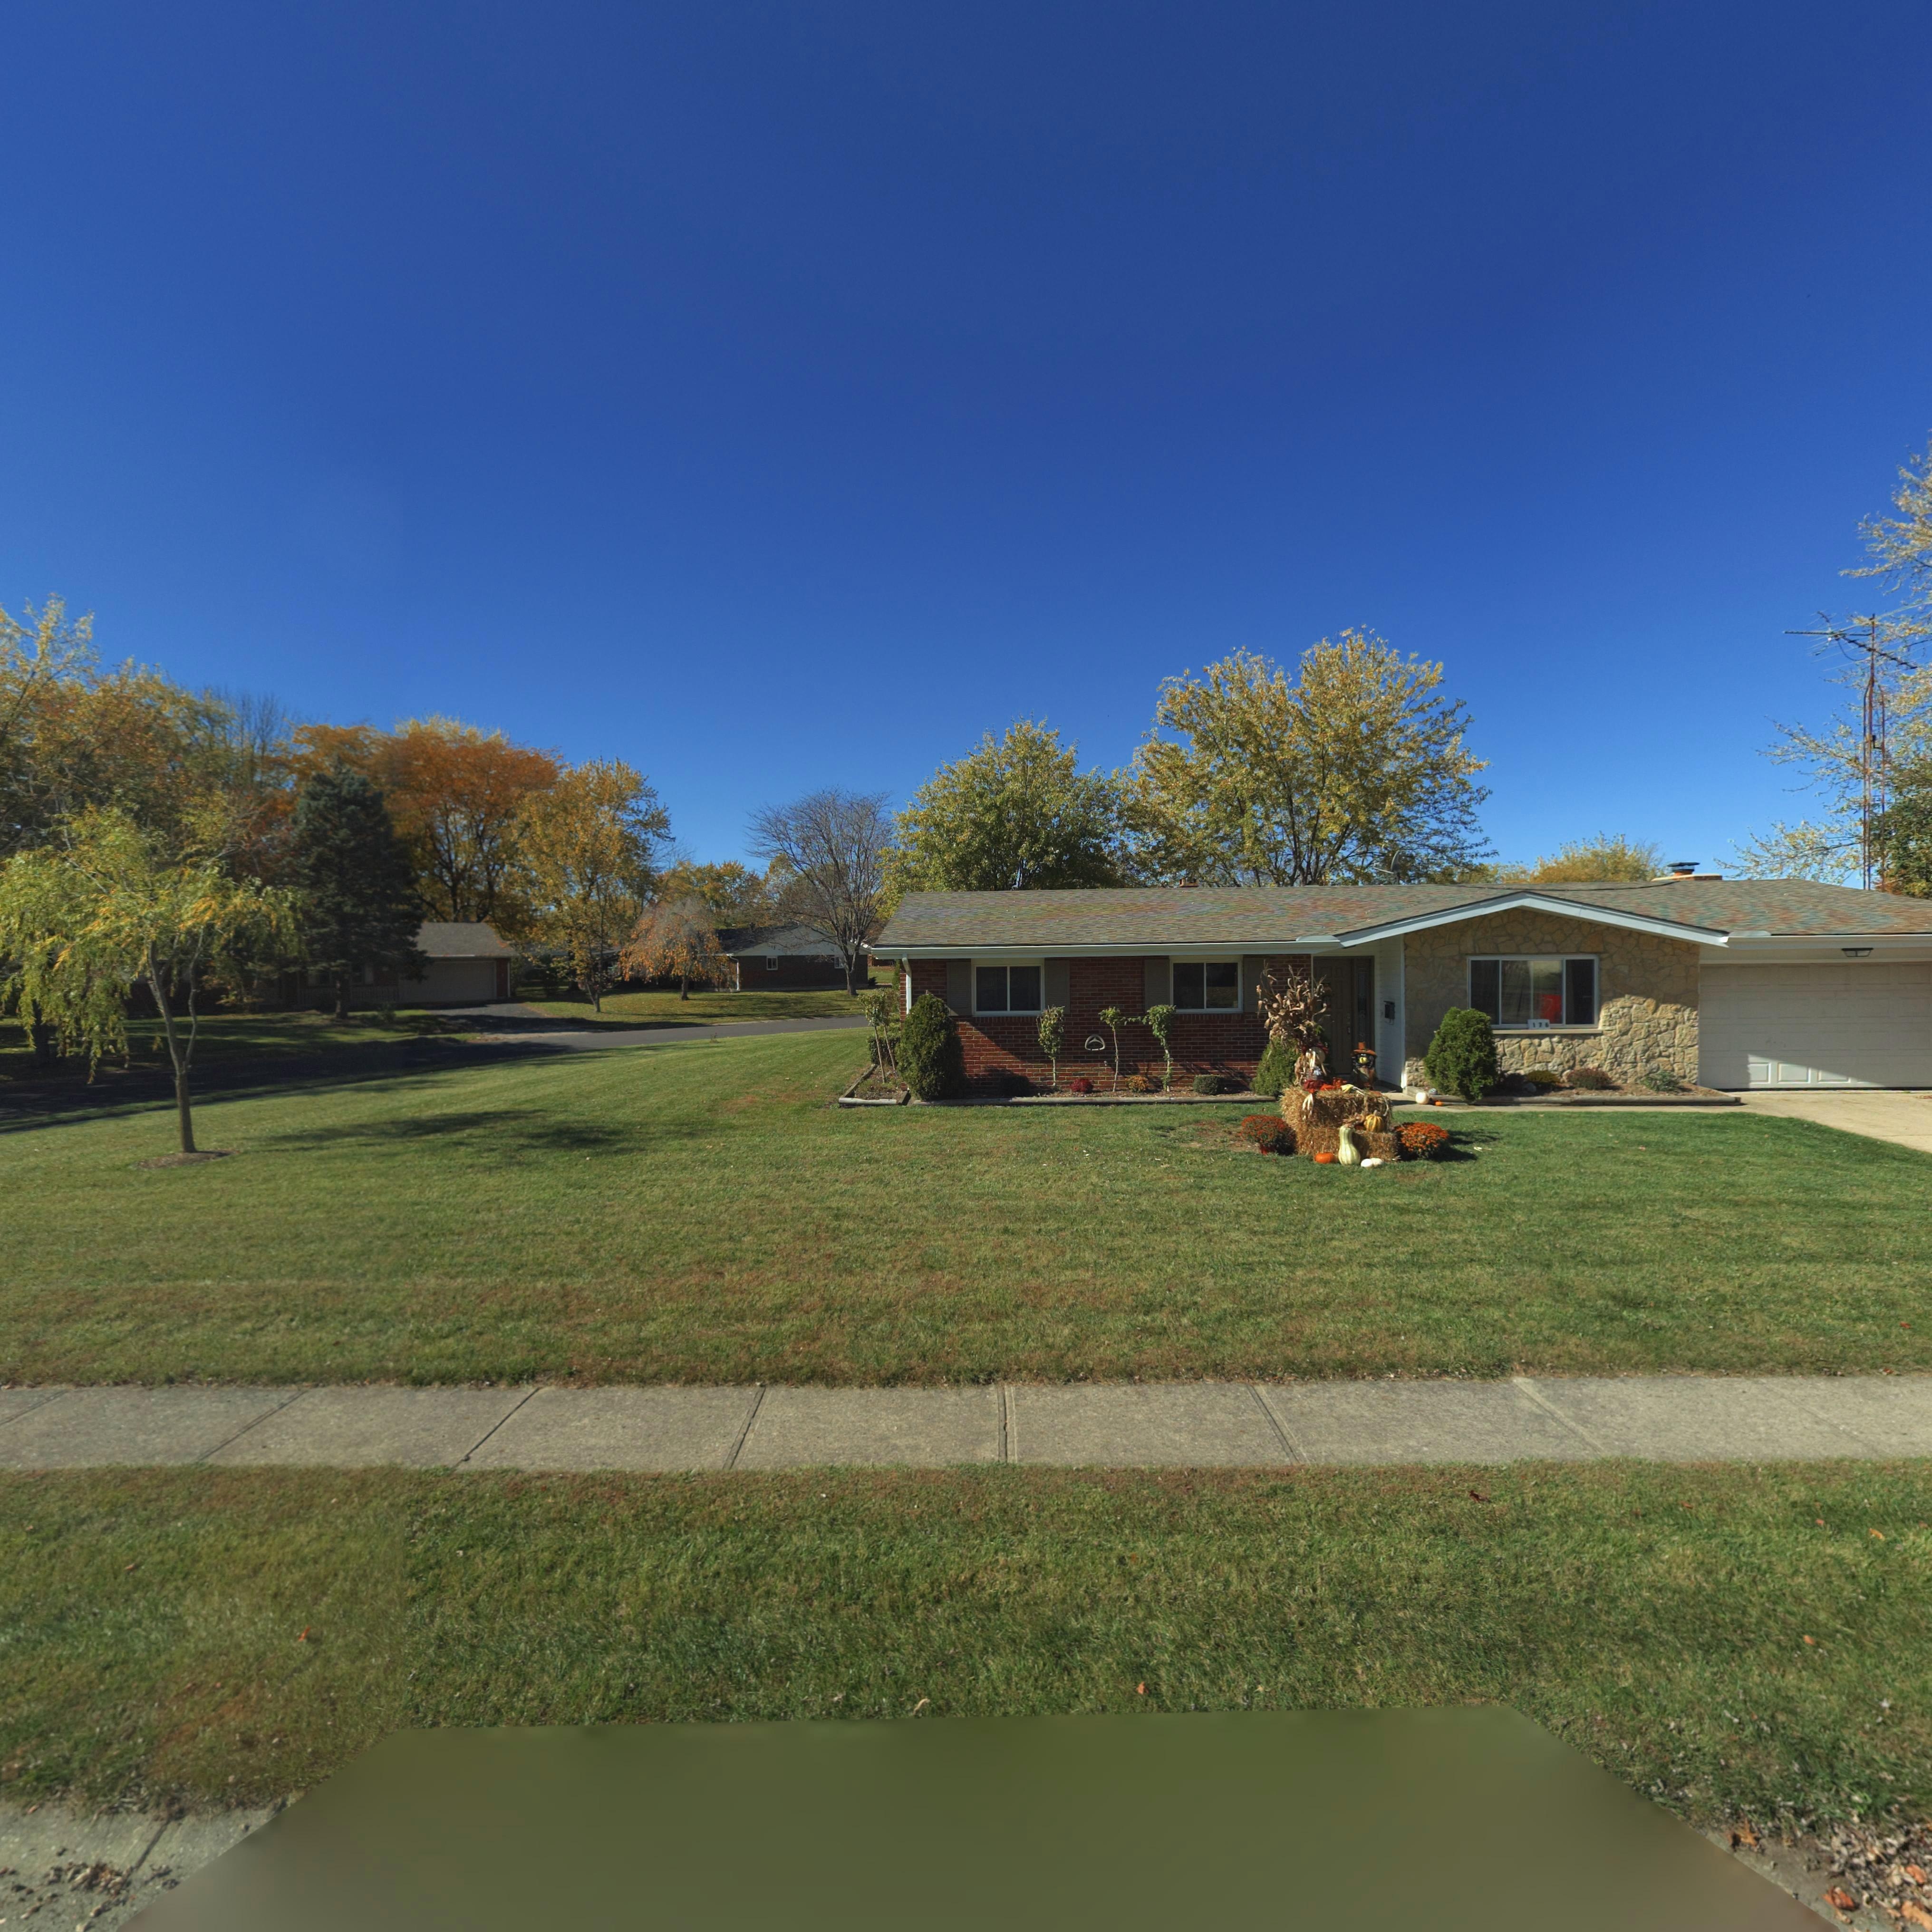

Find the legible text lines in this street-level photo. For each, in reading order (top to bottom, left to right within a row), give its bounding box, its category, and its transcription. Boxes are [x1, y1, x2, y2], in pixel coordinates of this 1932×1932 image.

[1532, 1021, 1550, 1029] StreetNumber: 176